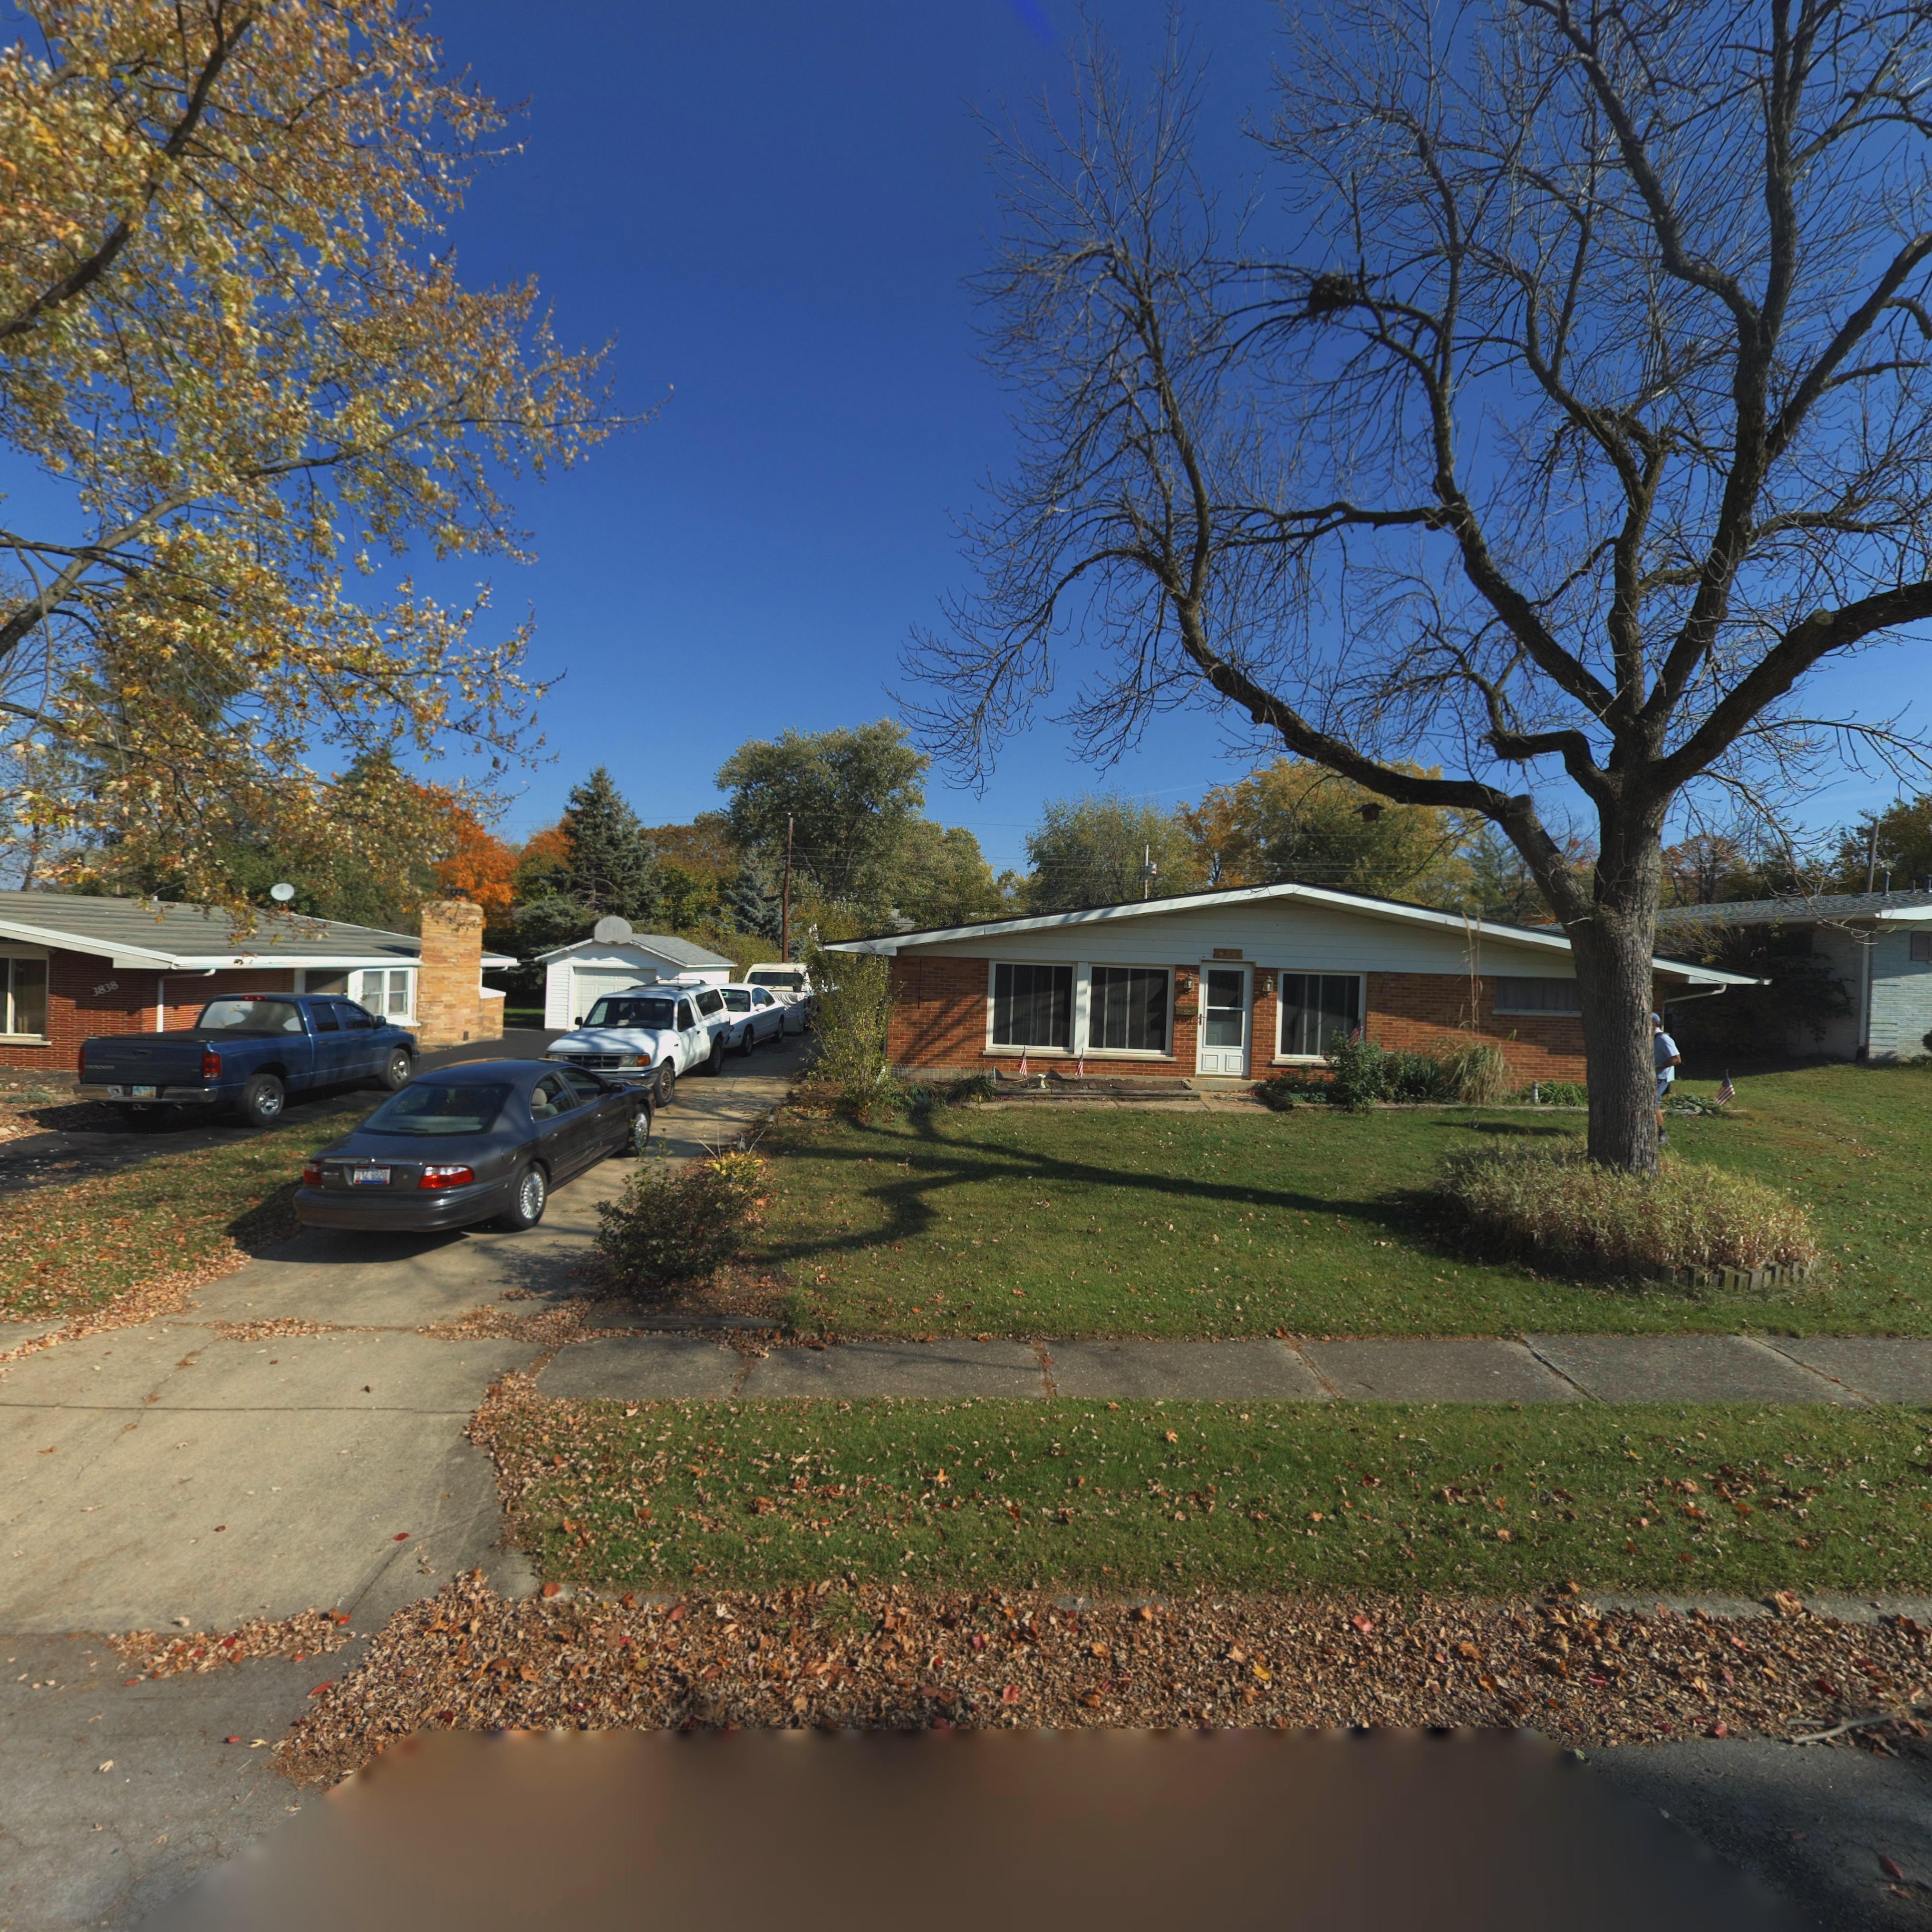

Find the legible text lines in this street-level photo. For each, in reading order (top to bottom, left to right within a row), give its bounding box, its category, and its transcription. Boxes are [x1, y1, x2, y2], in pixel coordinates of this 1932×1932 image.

[1215, 949, 1241, 958] StreetNumber: 3844
[92, 979, 119, 997] StreetNumber: 3838
[356, 1169, 387, 1180] None: OYZ*9820